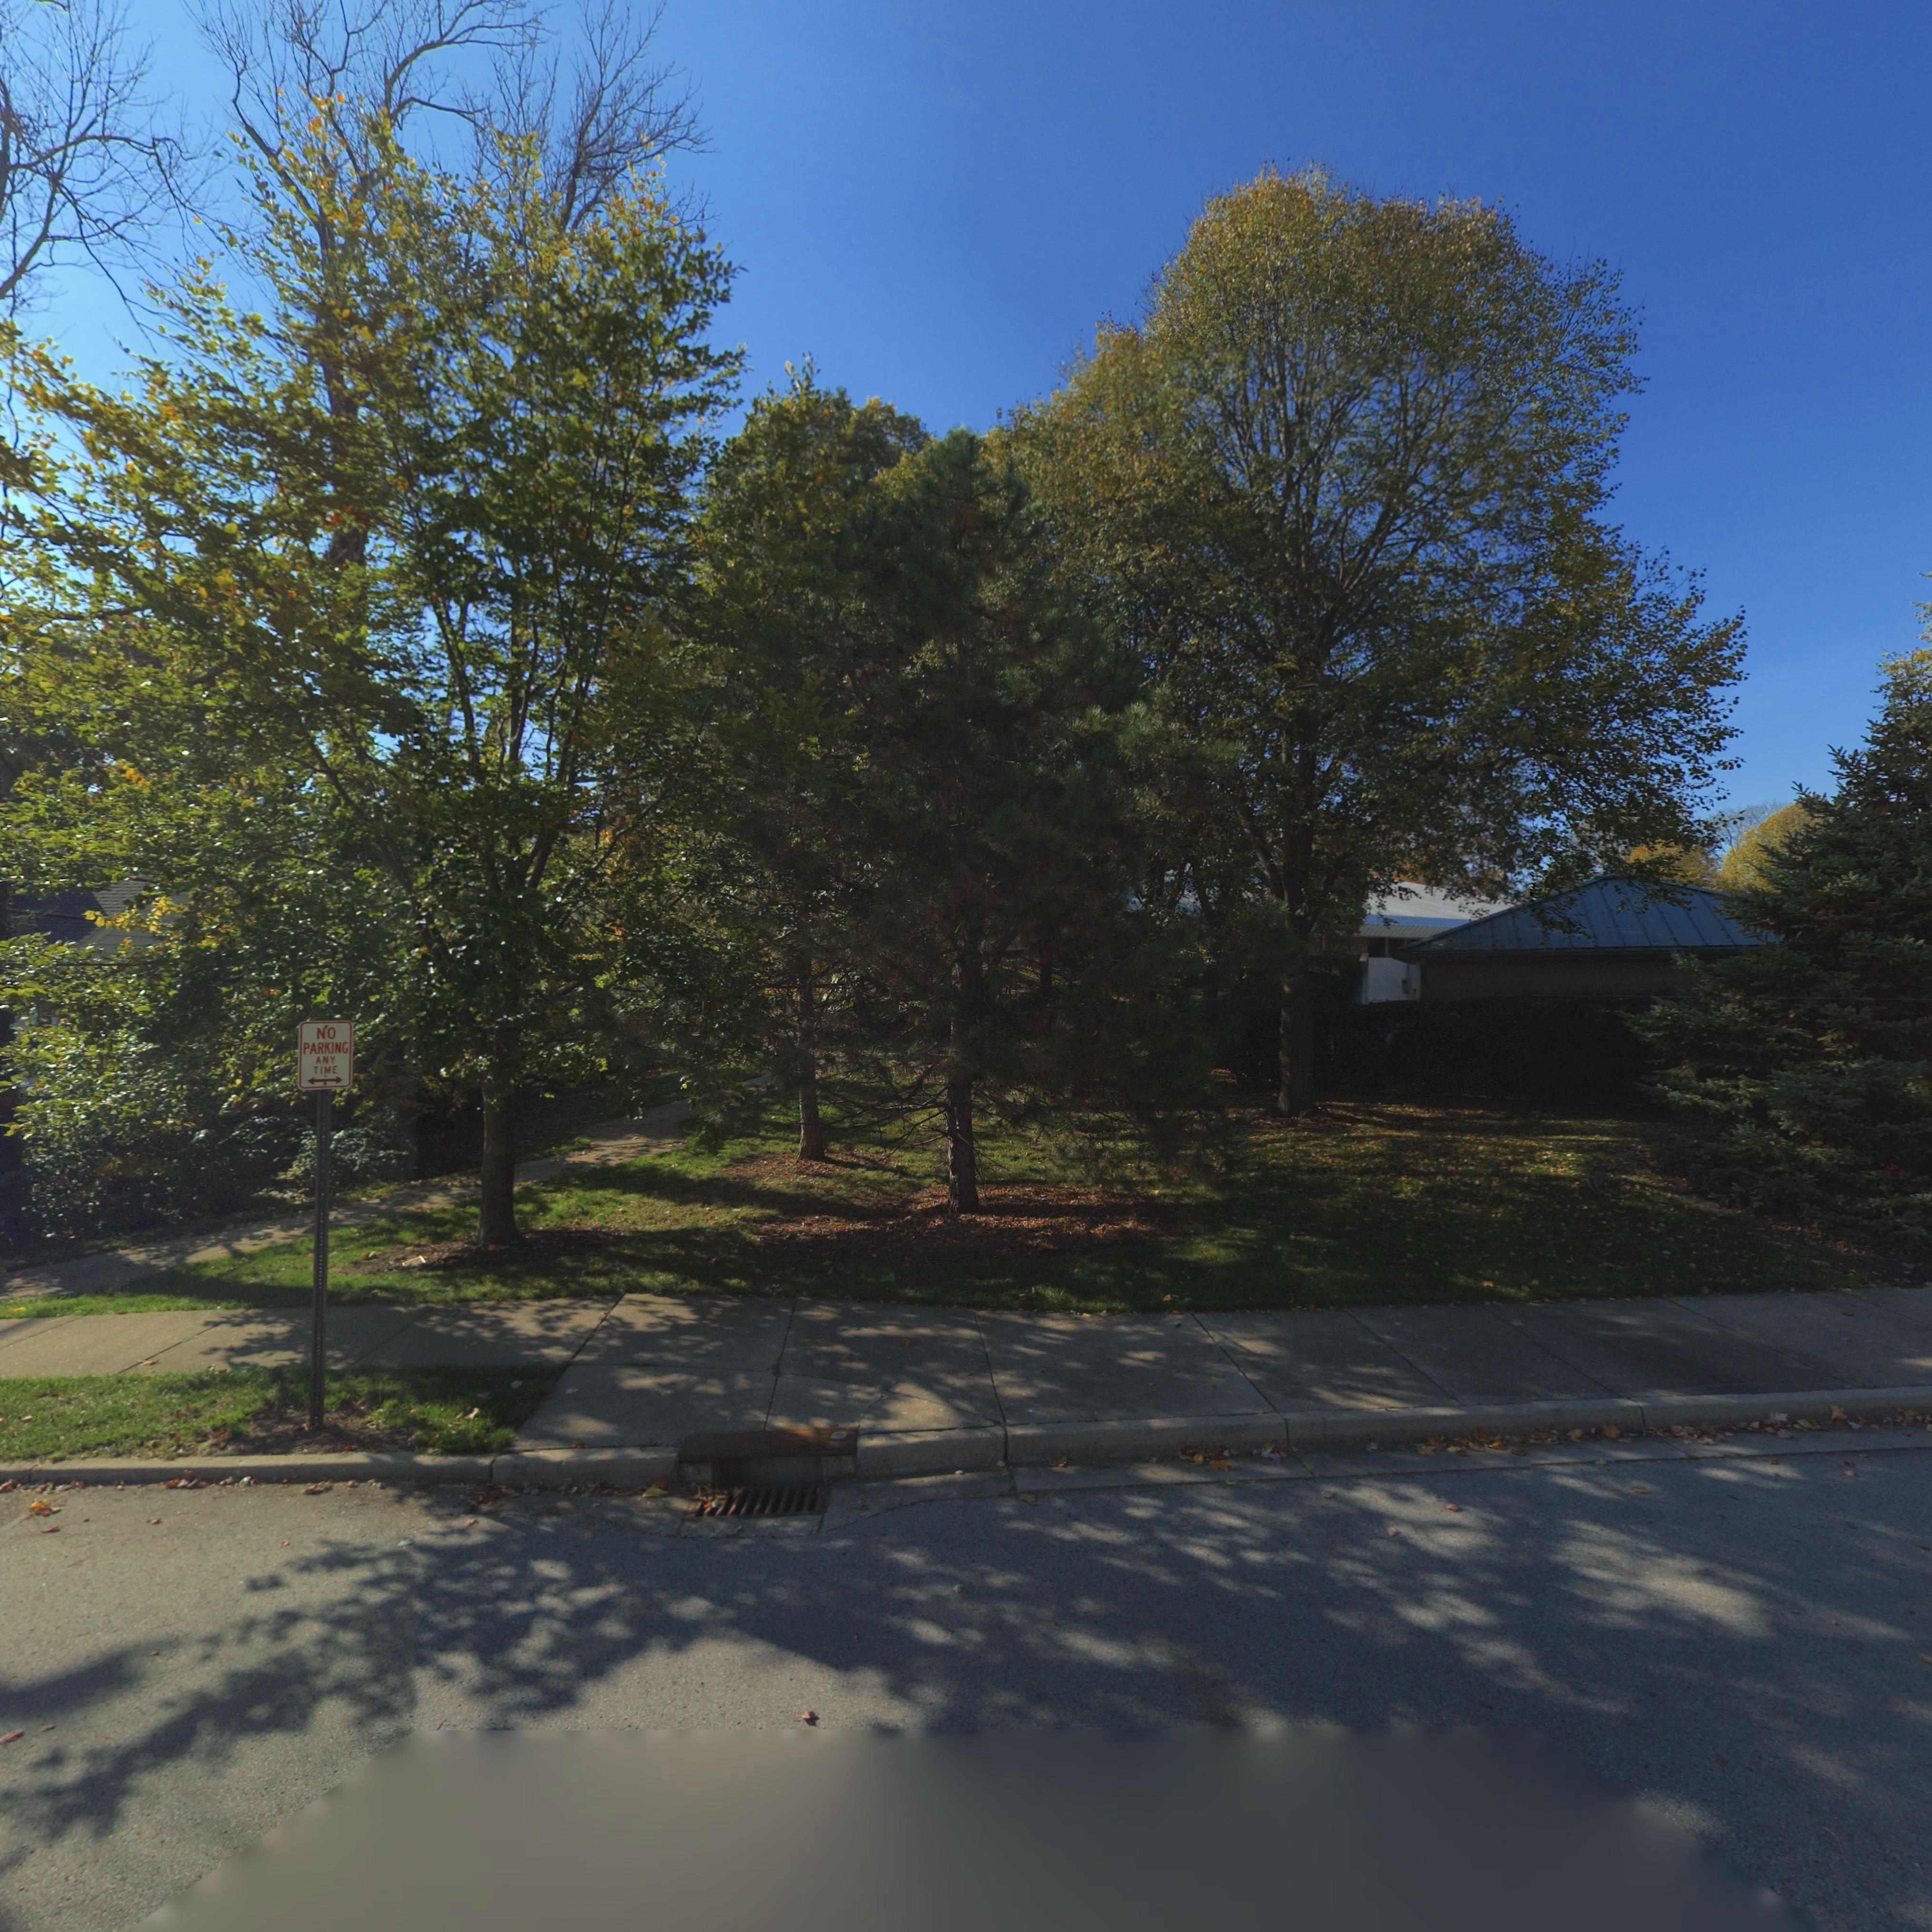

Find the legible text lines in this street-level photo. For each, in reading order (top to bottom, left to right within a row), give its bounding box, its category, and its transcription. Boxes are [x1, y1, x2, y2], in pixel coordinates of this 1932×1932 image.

[316, 1027, 336, 1040] None: NO
[303, 1041, 349, 1055] None: PARKING
[314, 1055, 336, 1065] None: ANY
[312, 1065, 338, 1075] None: TIME